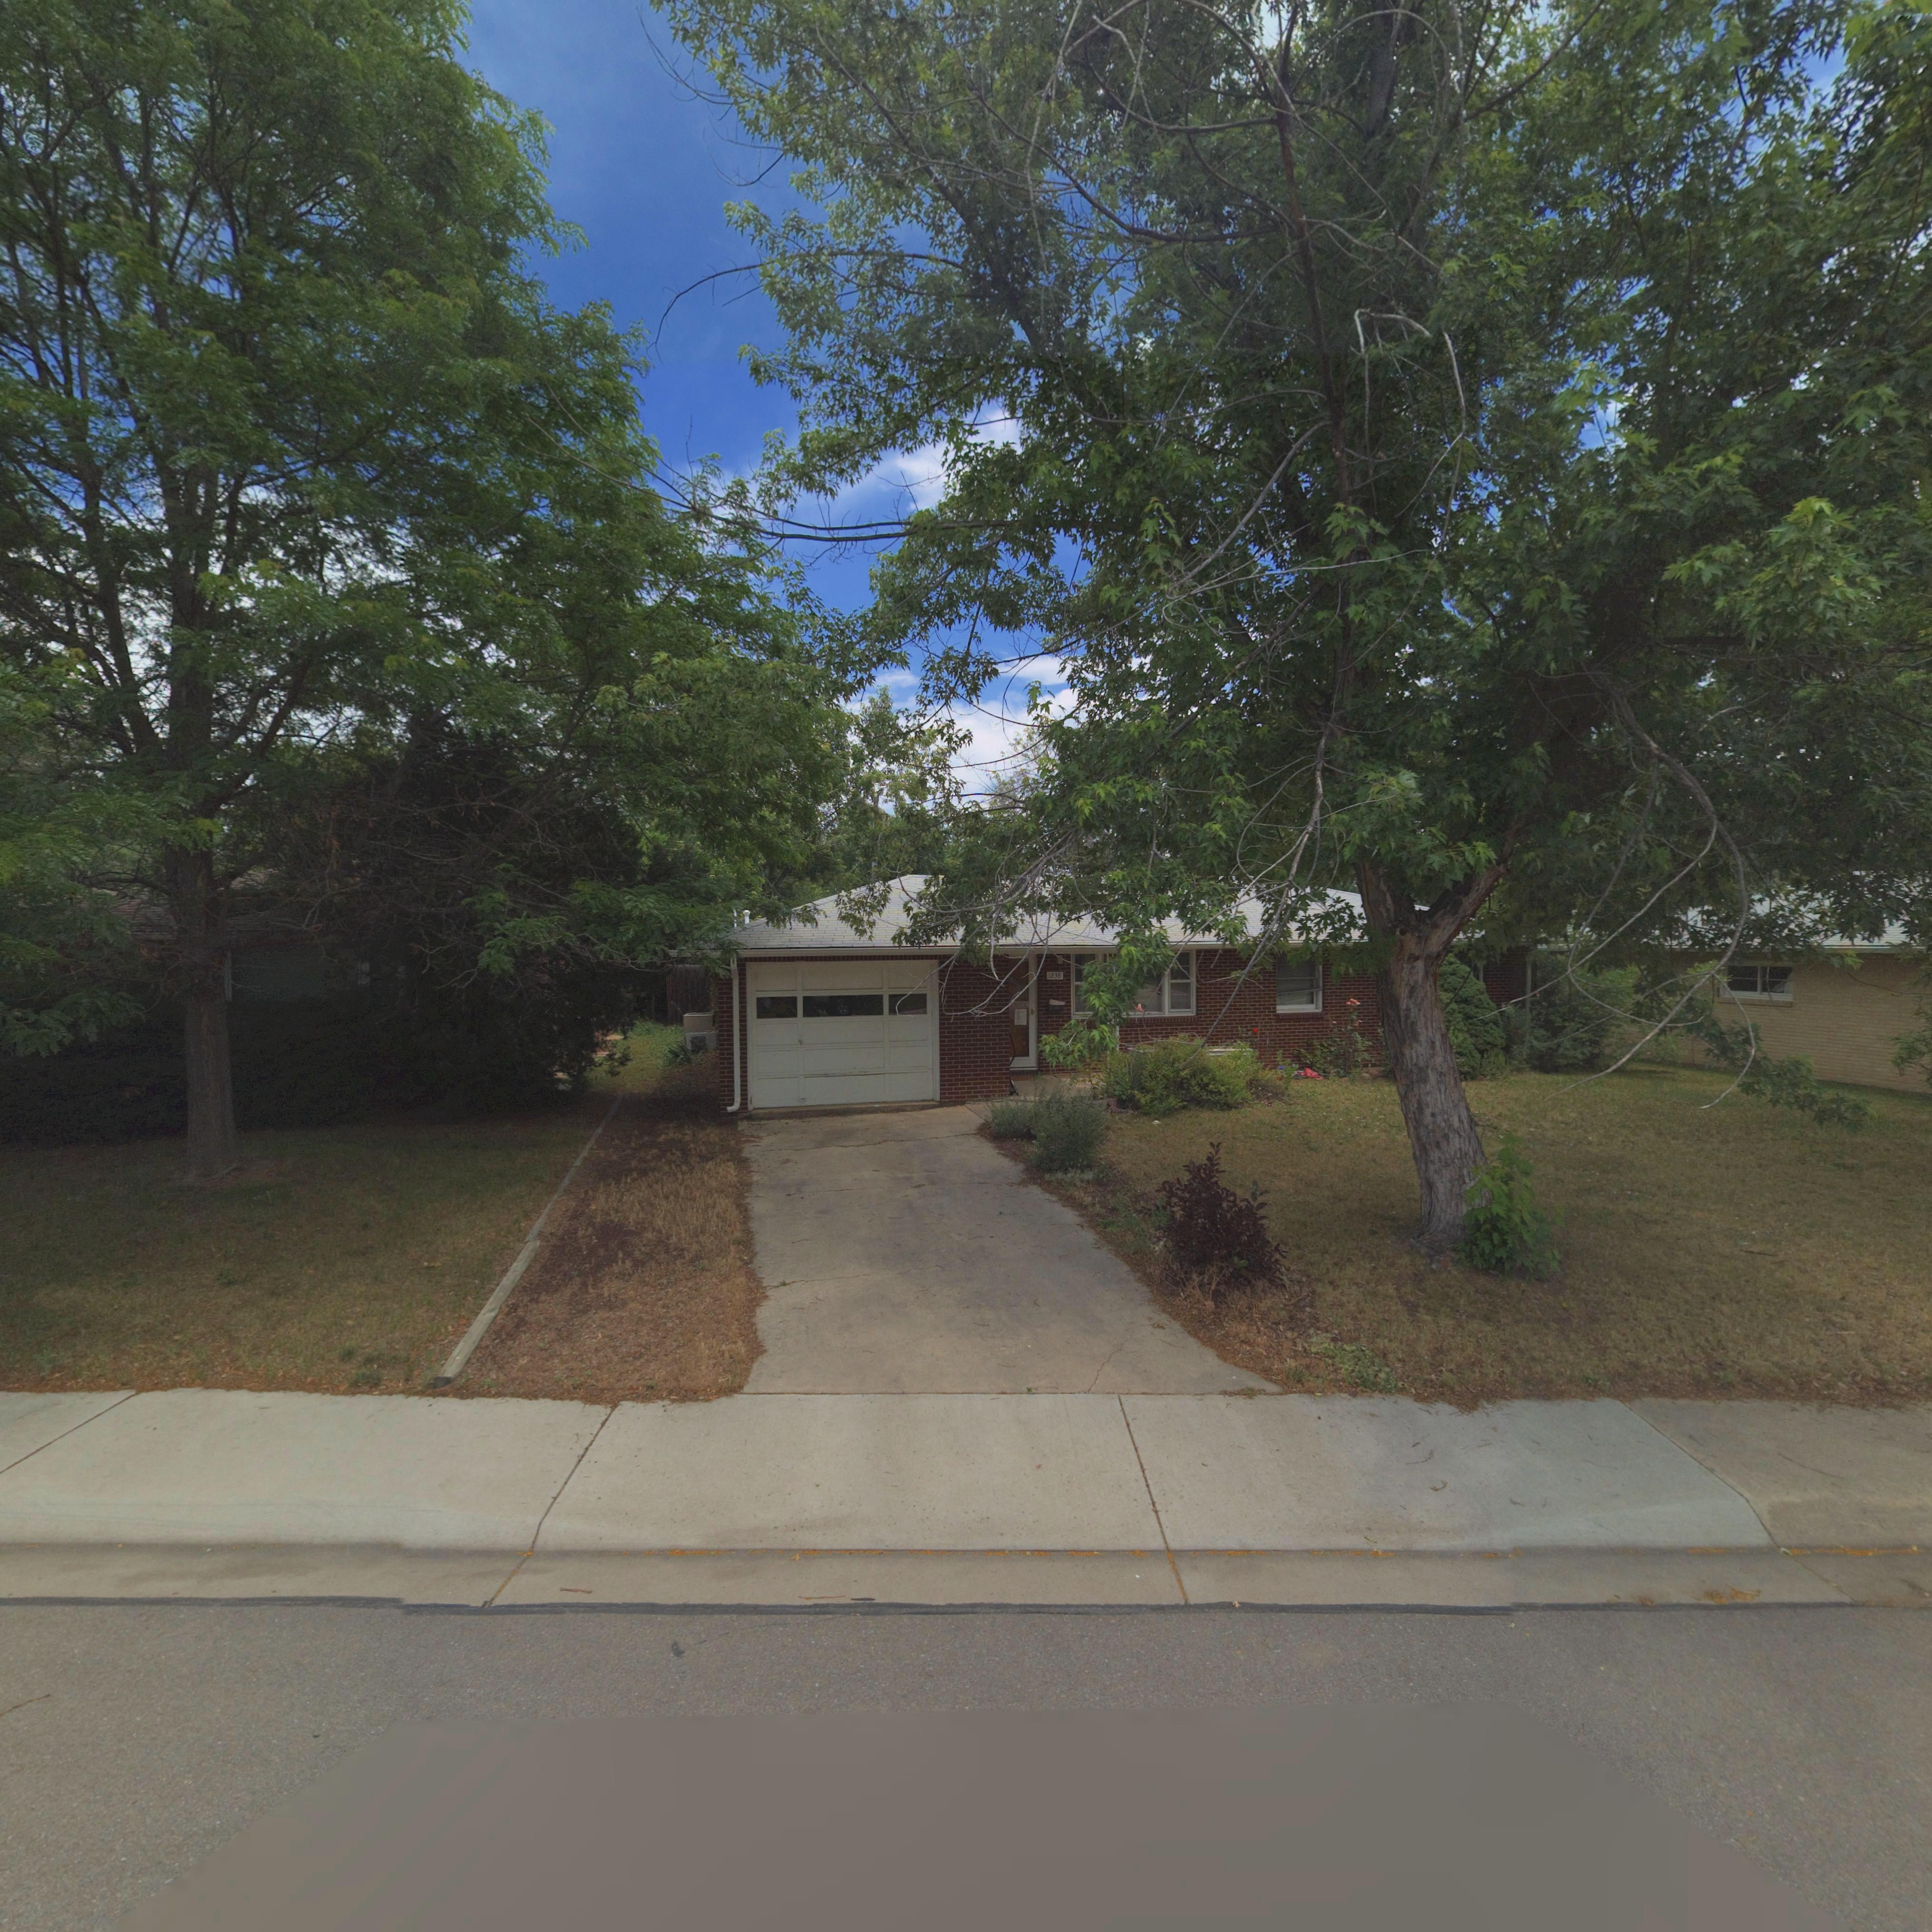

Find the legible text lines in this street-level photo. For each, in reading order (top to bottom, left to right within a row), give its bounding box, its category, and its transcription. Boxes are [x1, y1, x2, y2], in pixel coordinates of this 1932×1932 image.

[1048, 972, 1061, 978] StreetNumber: 1238